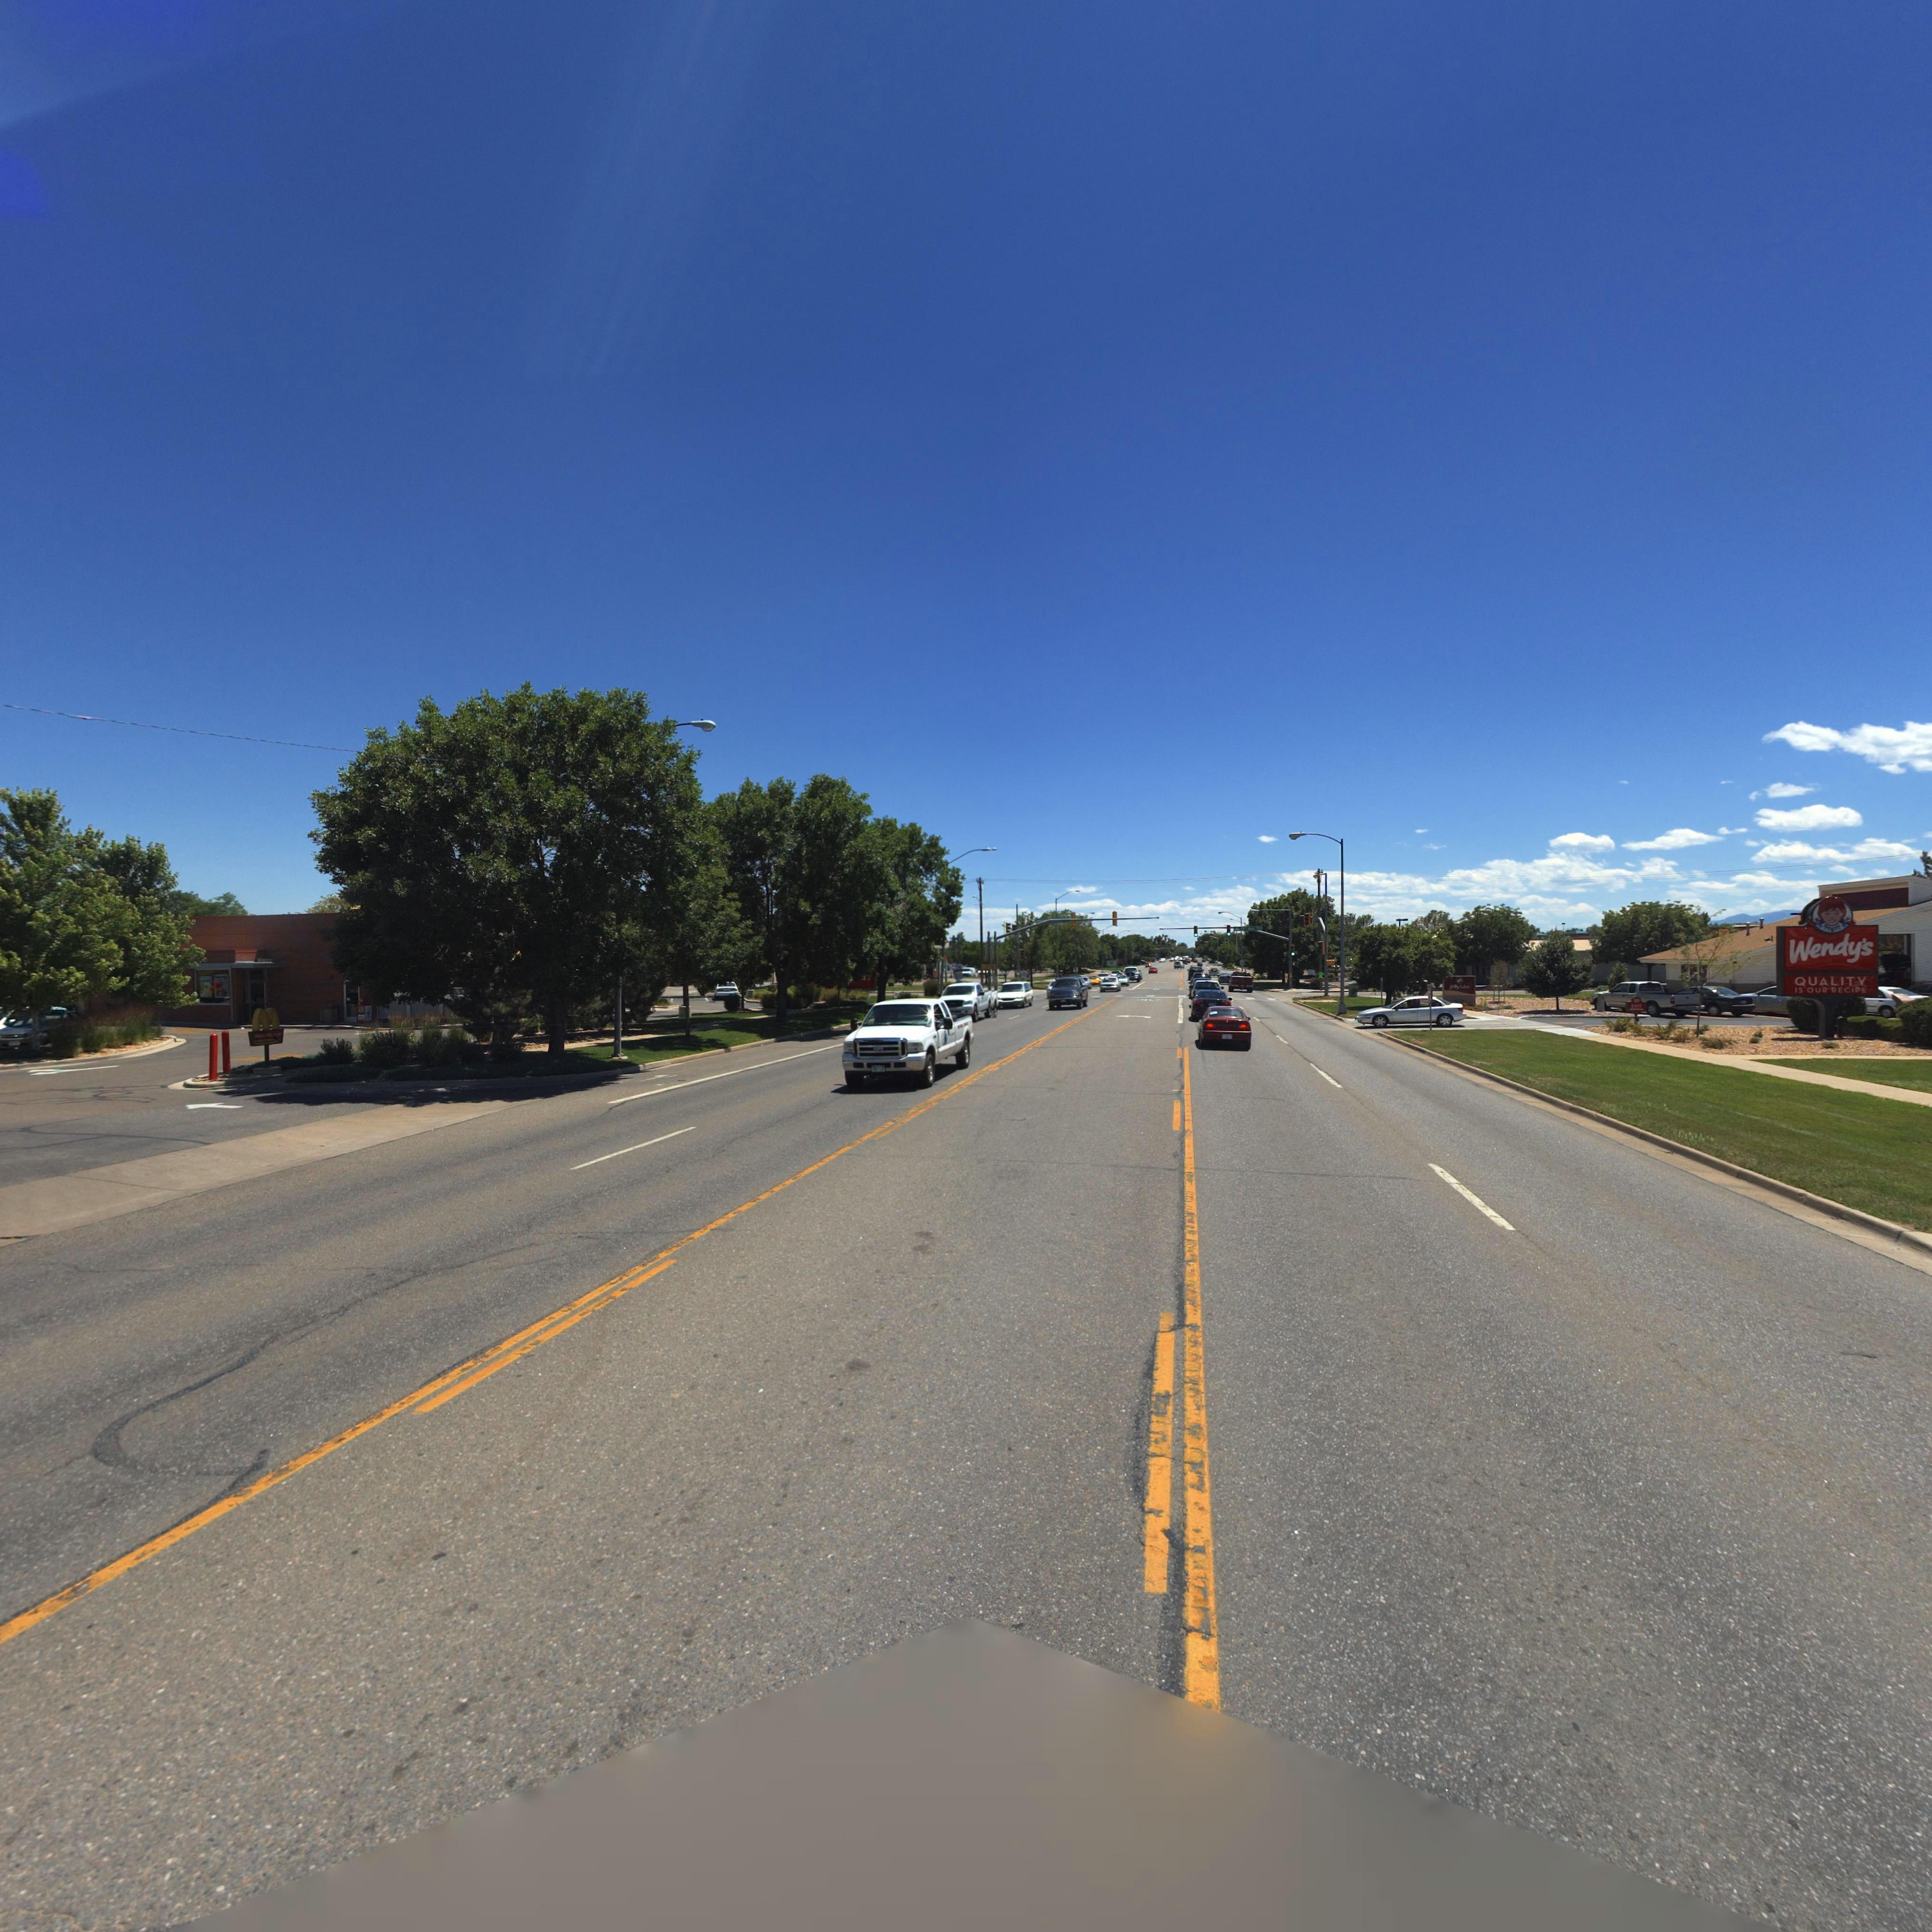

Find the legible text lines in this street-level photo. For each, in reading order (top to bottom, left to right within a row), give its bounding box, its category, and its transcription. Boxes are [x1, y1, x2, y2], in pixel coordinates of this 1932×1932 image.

[1240, 927, 1254, 930] StreetName: 1*** Av*
[1788, 932, 1874, 965] BusinessName: Wendy's
[1449, 984, 1470, 990] BusinessName: jiffylube